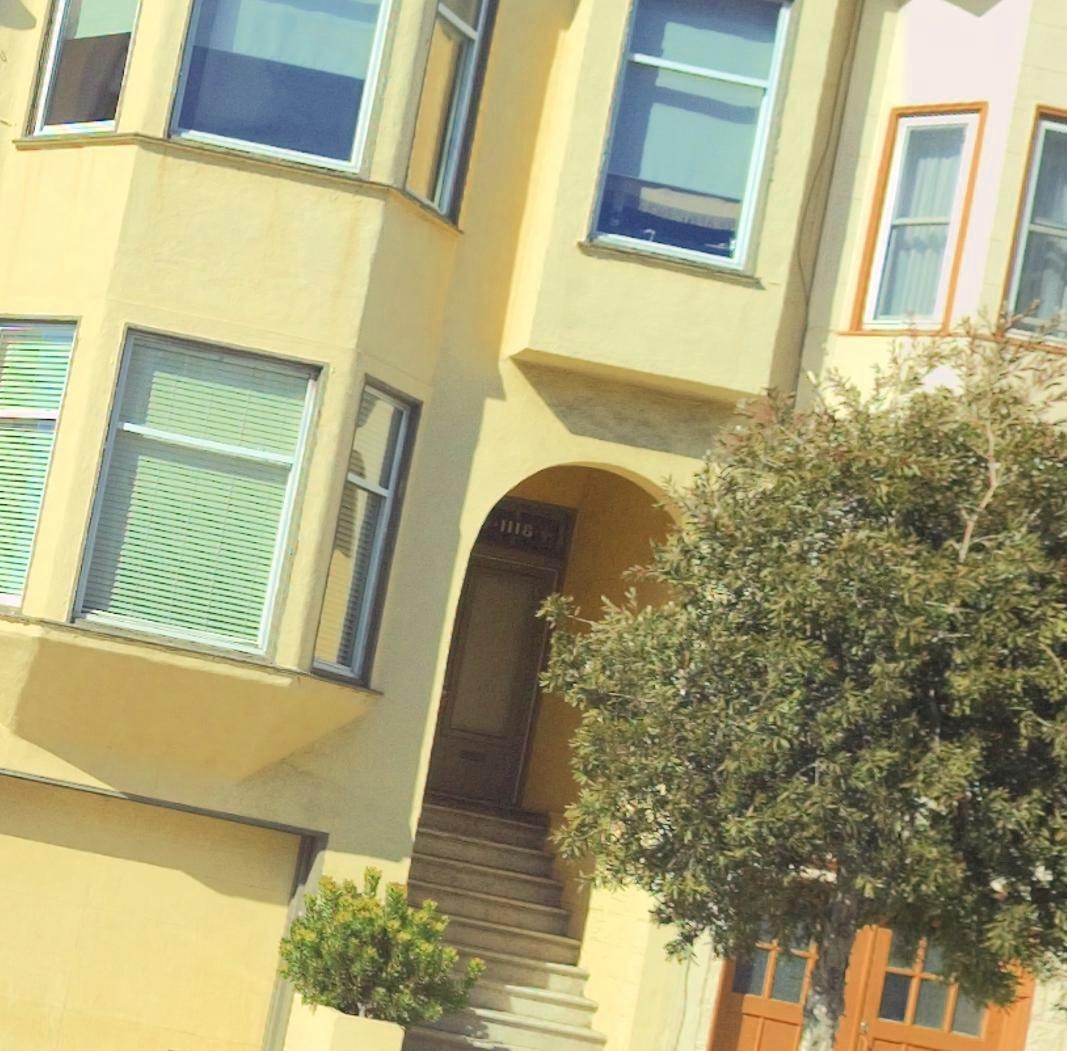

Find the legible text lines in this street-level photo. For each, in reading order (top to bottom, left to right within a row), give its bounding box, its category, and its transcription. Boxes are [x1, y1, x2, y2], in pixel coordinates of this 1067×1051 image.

[499, 518, 535, 539] StreetNumber: 1118